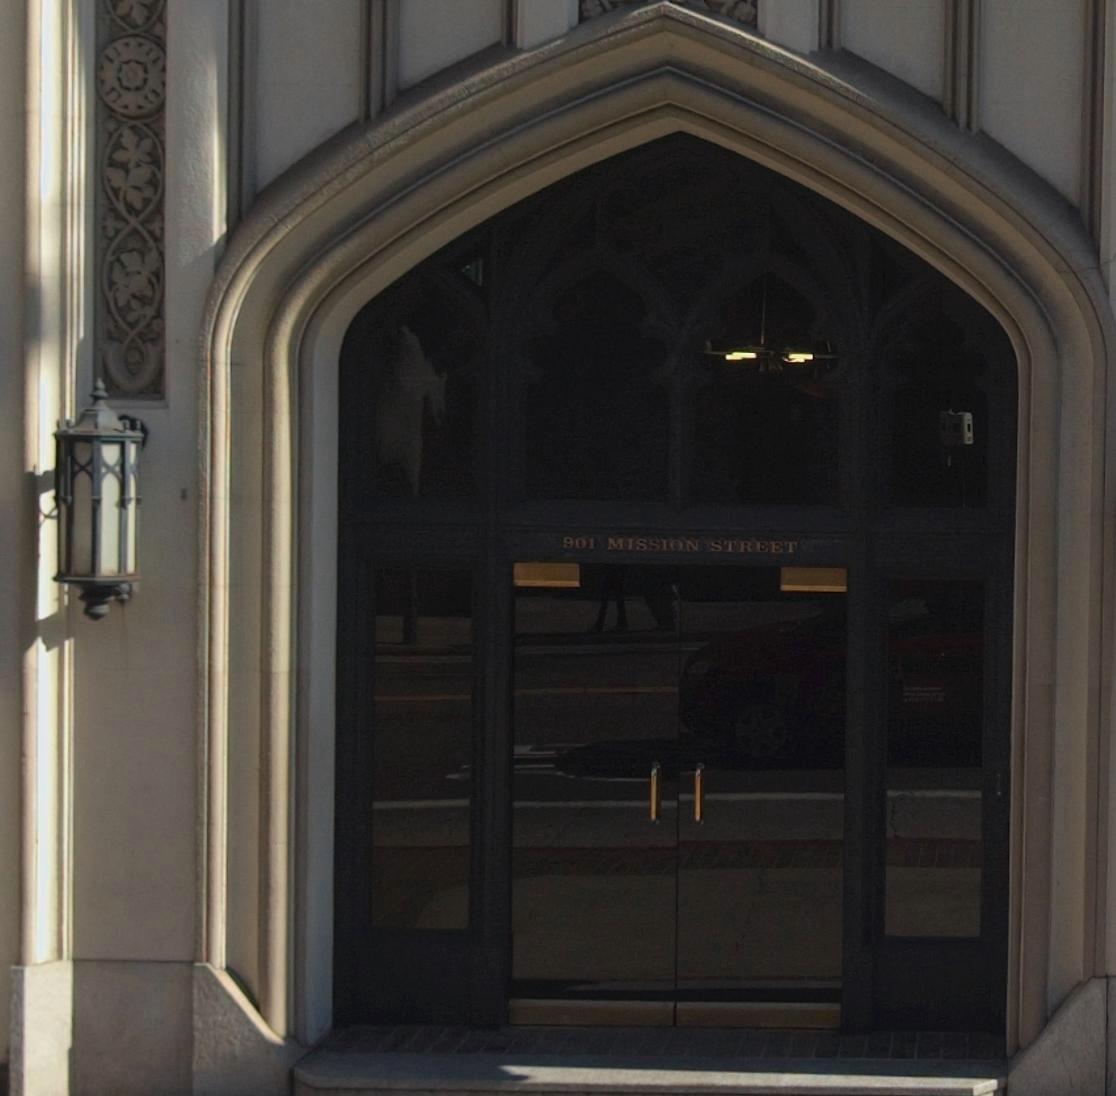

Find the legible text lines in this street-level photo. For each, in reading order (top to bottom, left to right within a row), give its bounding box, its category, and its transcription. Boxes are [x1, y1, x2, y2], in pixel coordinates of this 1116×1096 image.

[562, 536, 596, 550] StreetNumber: 901
[605, 536, 798, 554] StreetName: MISSION STREET